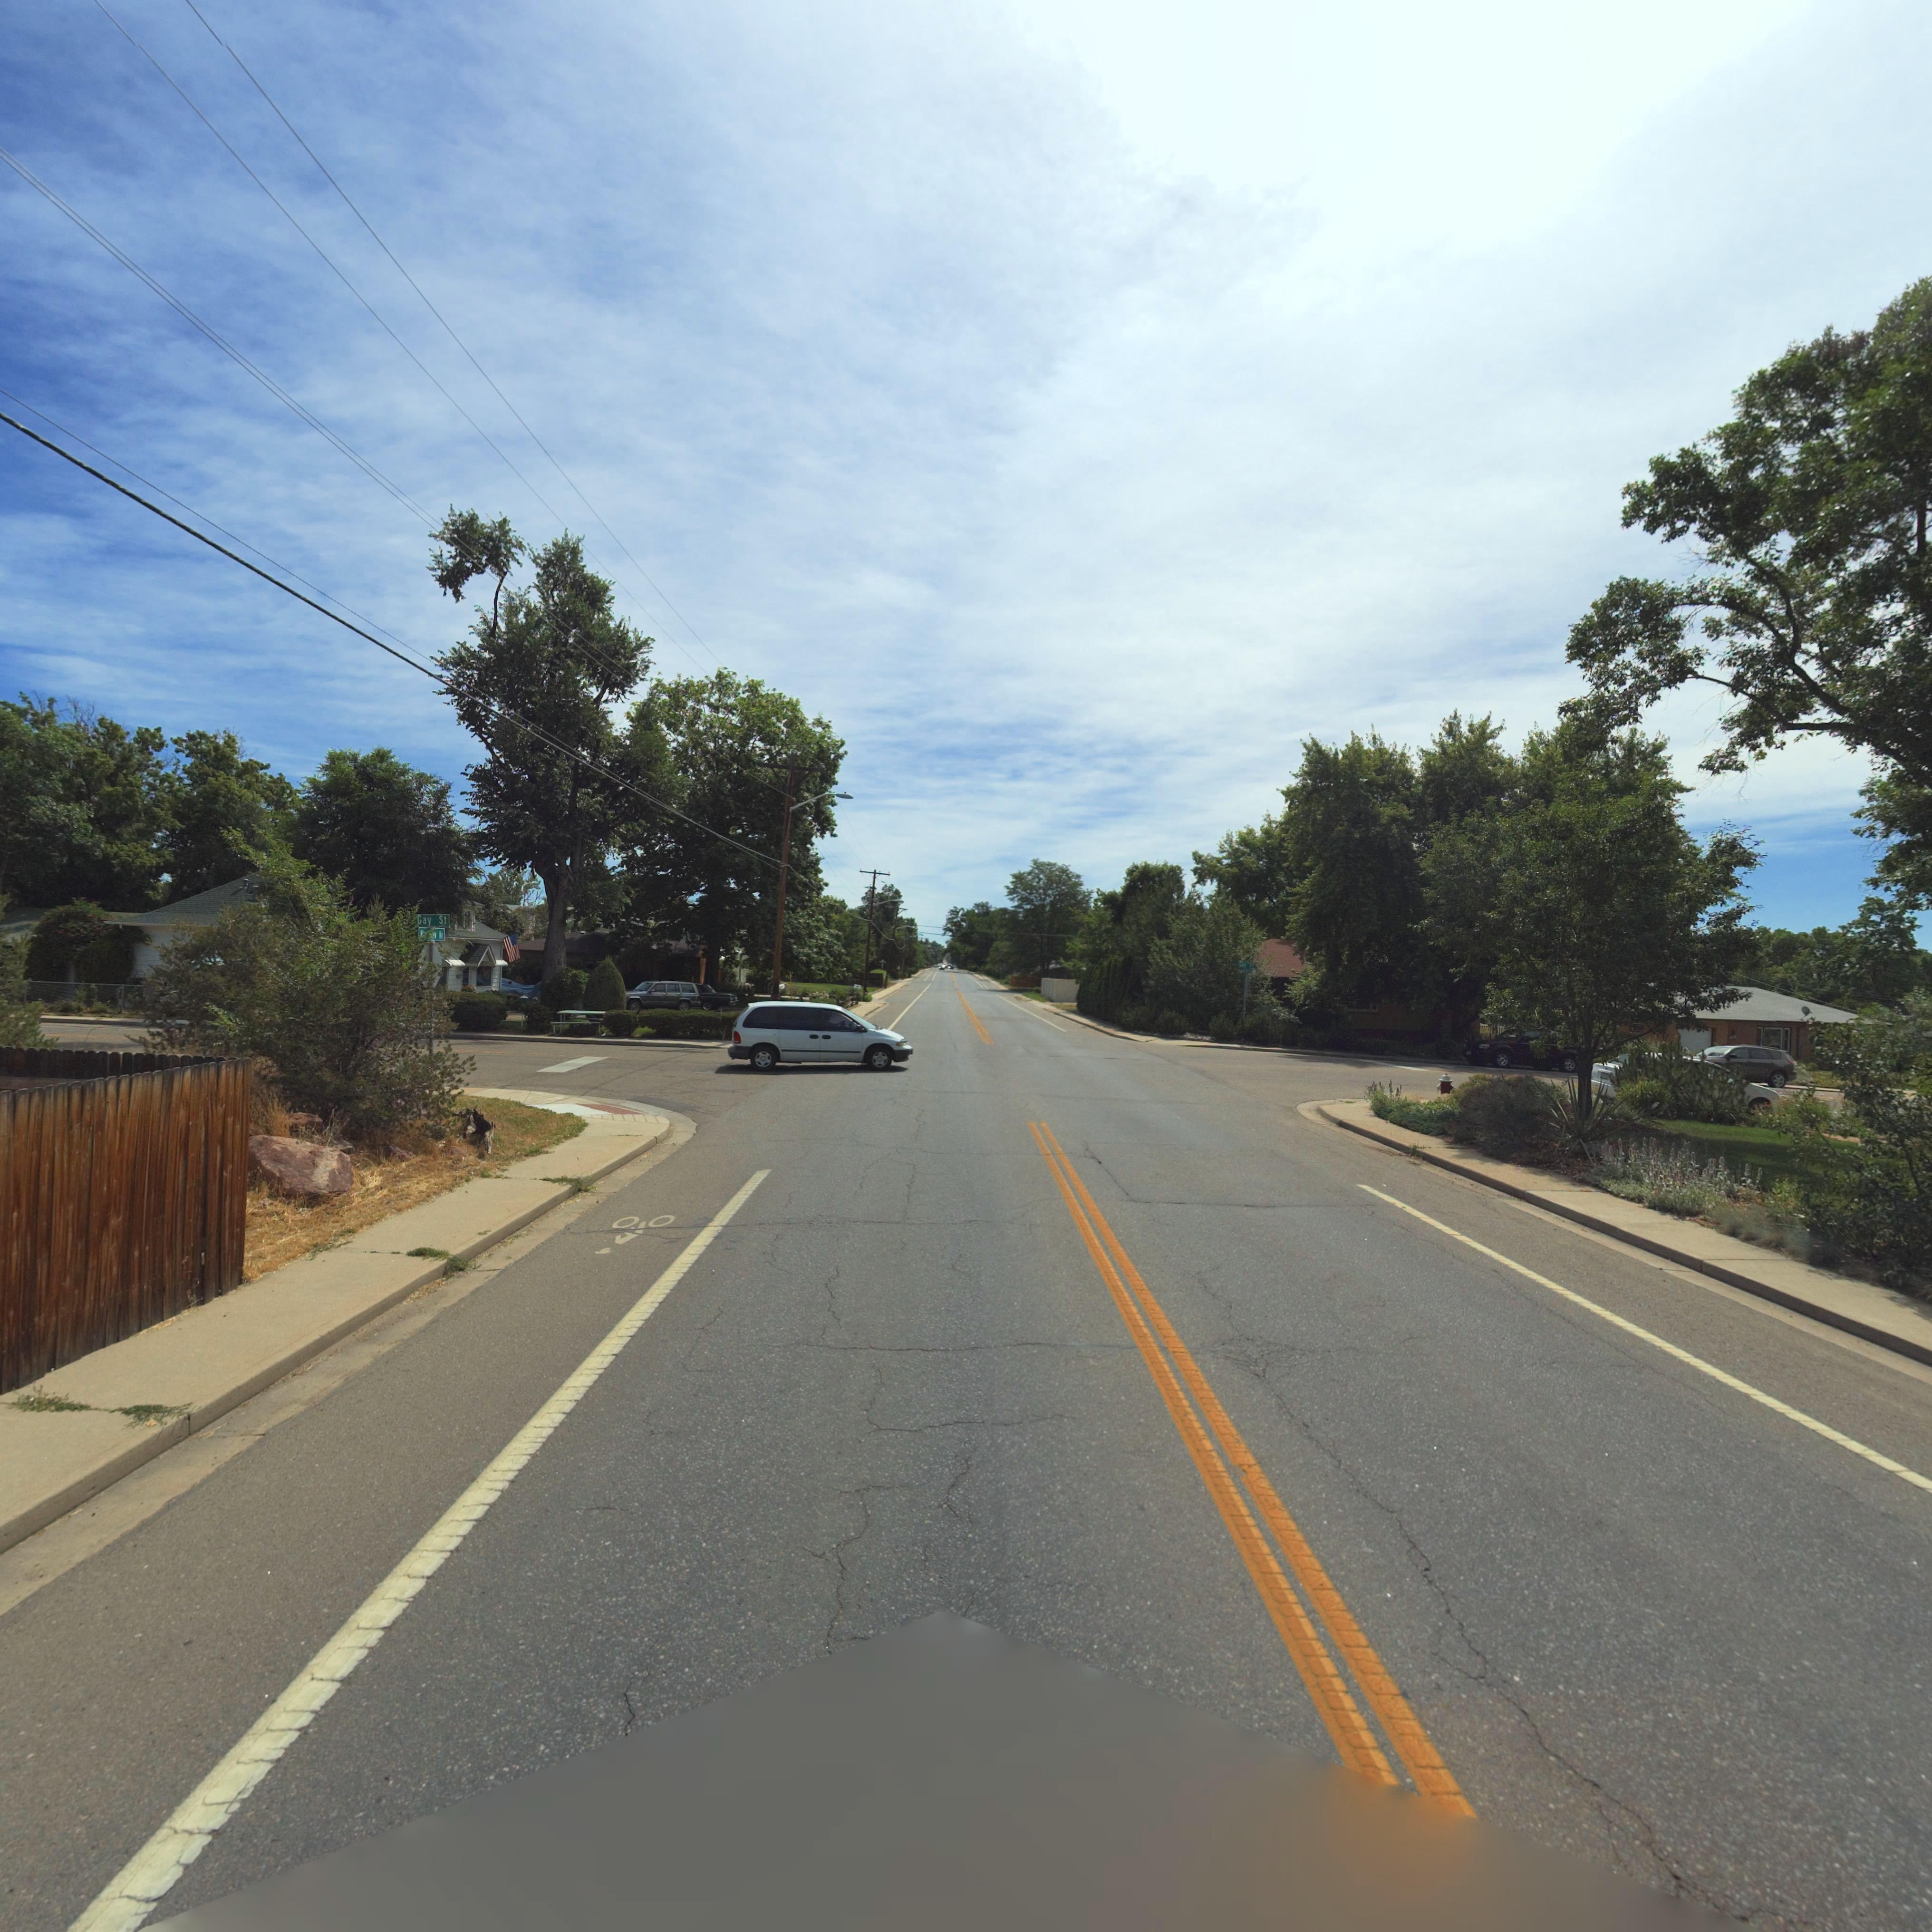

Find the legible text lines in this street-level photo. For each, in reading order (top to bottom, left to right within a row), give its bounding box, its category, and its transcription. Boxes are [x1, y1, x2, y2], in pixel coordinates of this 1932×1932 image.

[417, 914, 447, 927] StreetName: Gay St
[420, 929, 444, 939] StreetName: *** **ew Av